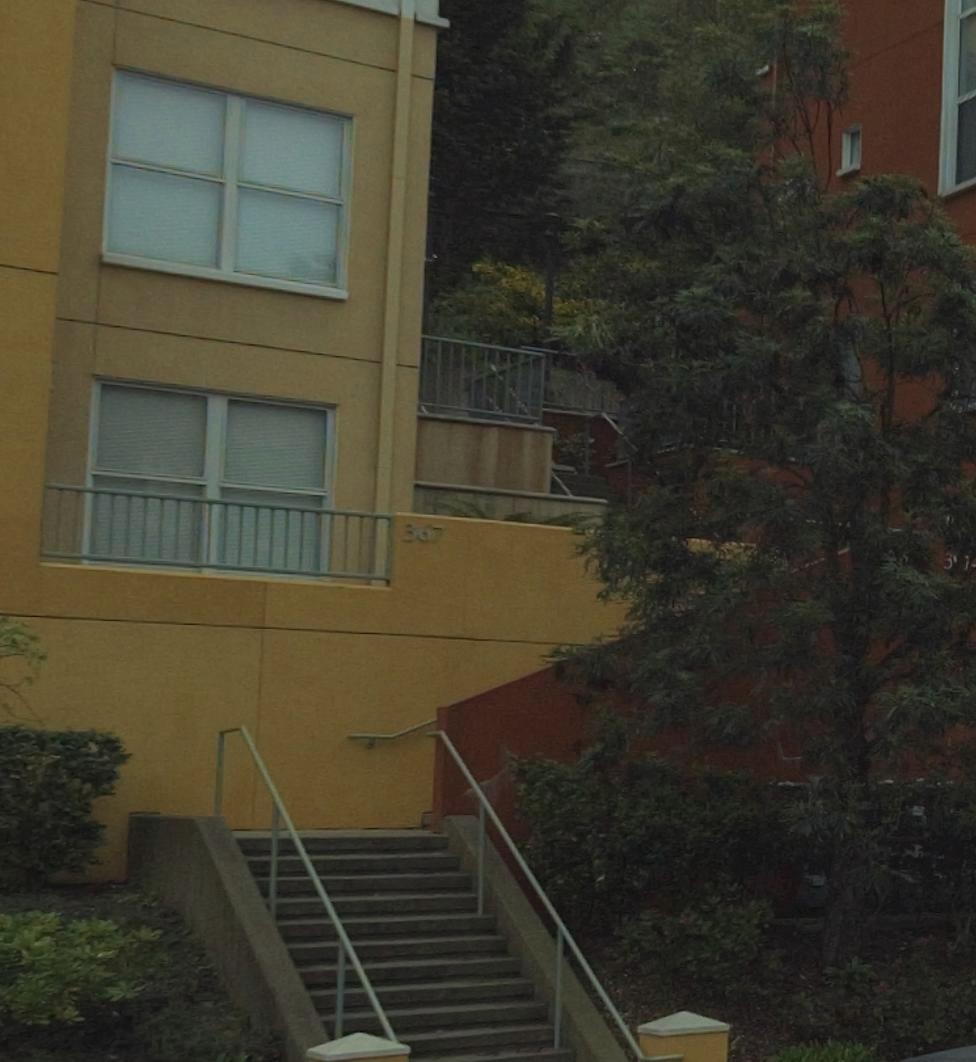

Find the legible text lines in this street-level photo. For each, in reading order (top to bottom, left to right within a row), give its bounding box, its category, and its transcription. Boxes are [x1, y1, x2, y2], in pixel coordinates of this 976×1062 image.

[400, 520, 447, 546] StreetNumber: 367